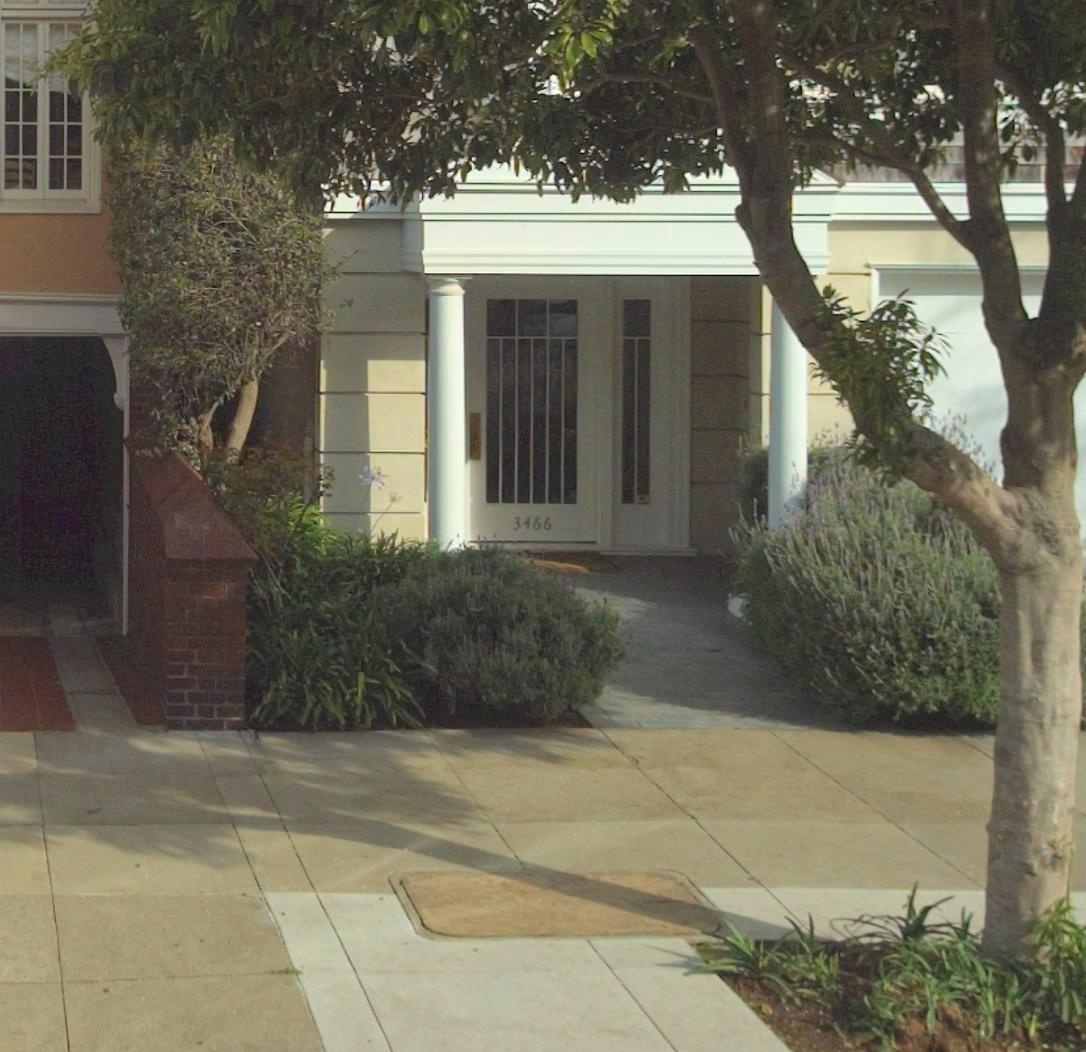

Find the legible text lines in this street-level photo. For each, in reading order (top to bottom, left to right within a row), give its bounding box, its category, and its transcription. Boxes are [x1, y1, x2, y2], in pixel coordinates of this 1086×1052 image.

[512, 513, 554, 533] StreetNumber: 3466